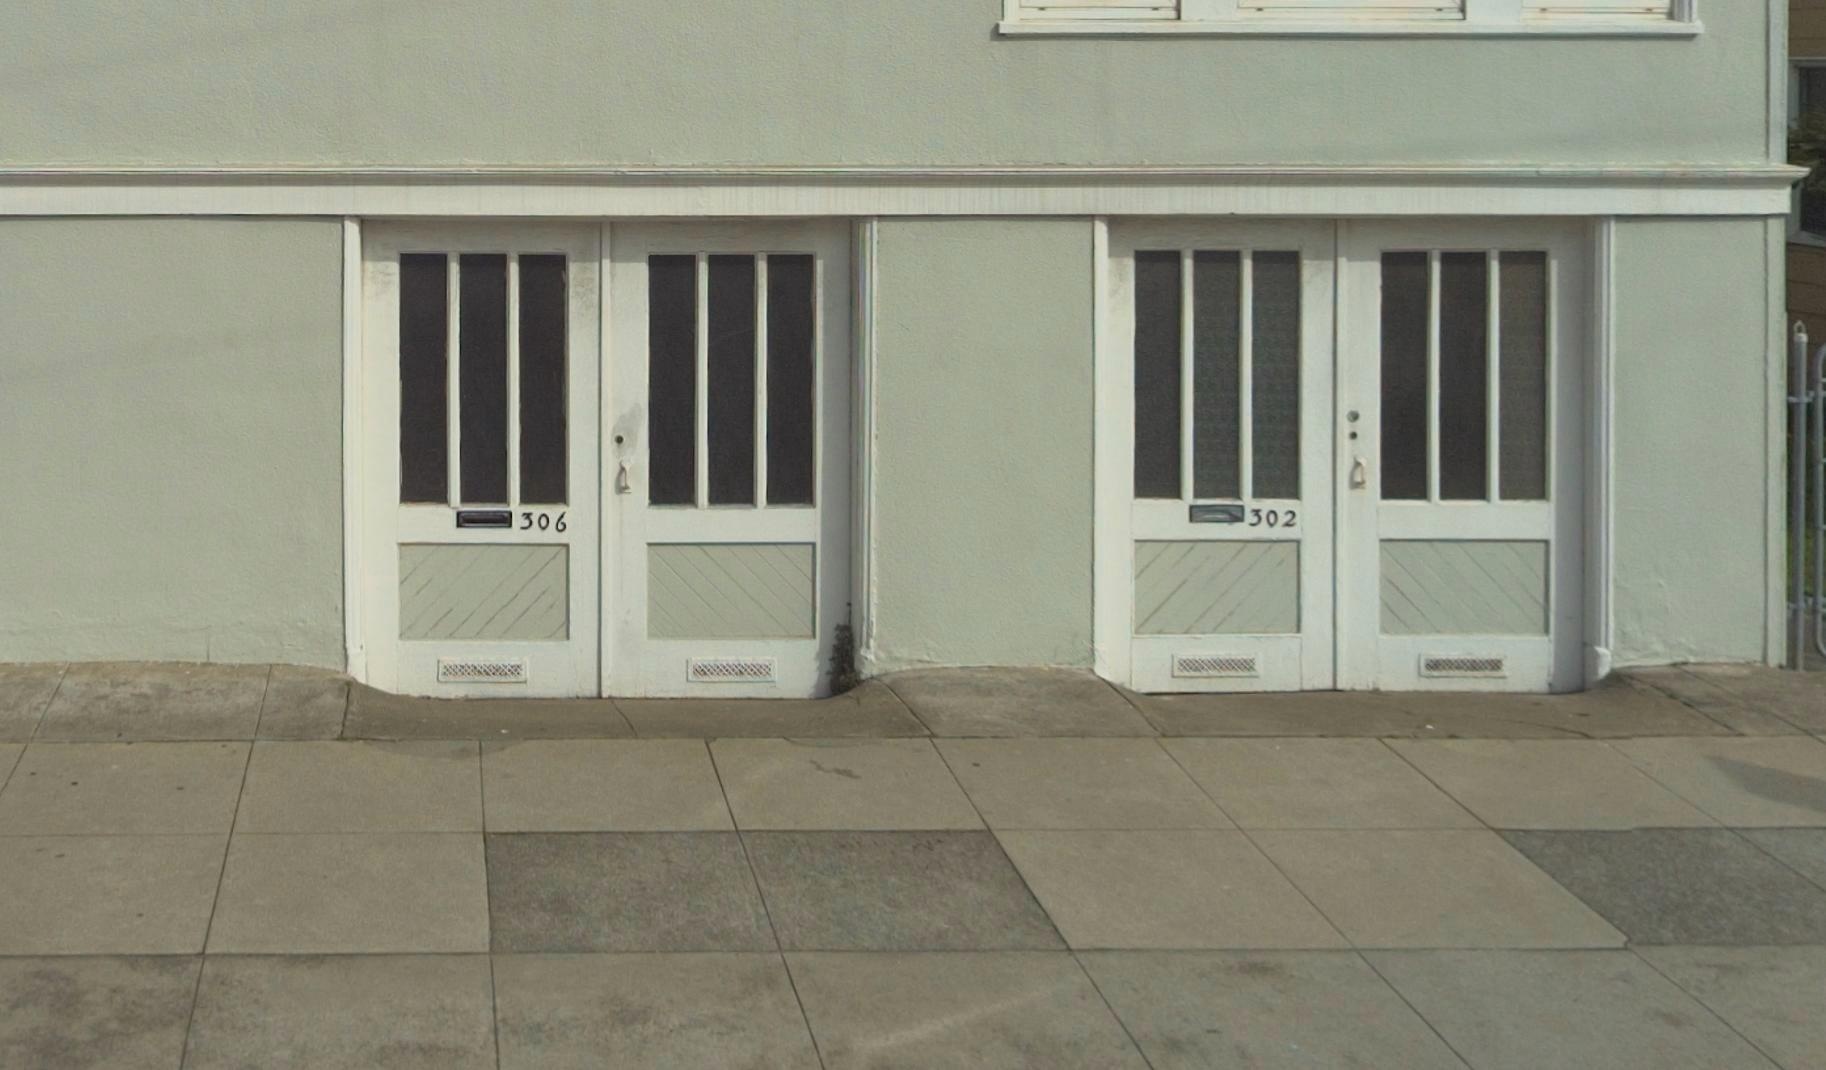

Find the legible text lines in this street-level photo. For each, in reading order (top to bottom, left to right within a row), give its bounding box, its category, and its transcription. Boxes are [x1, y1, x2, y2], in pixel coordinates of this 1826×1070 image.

[518, 509, 568, 534] StreetNumber: 306
[1246, 507, 1300, 529] StreetNumber: 302